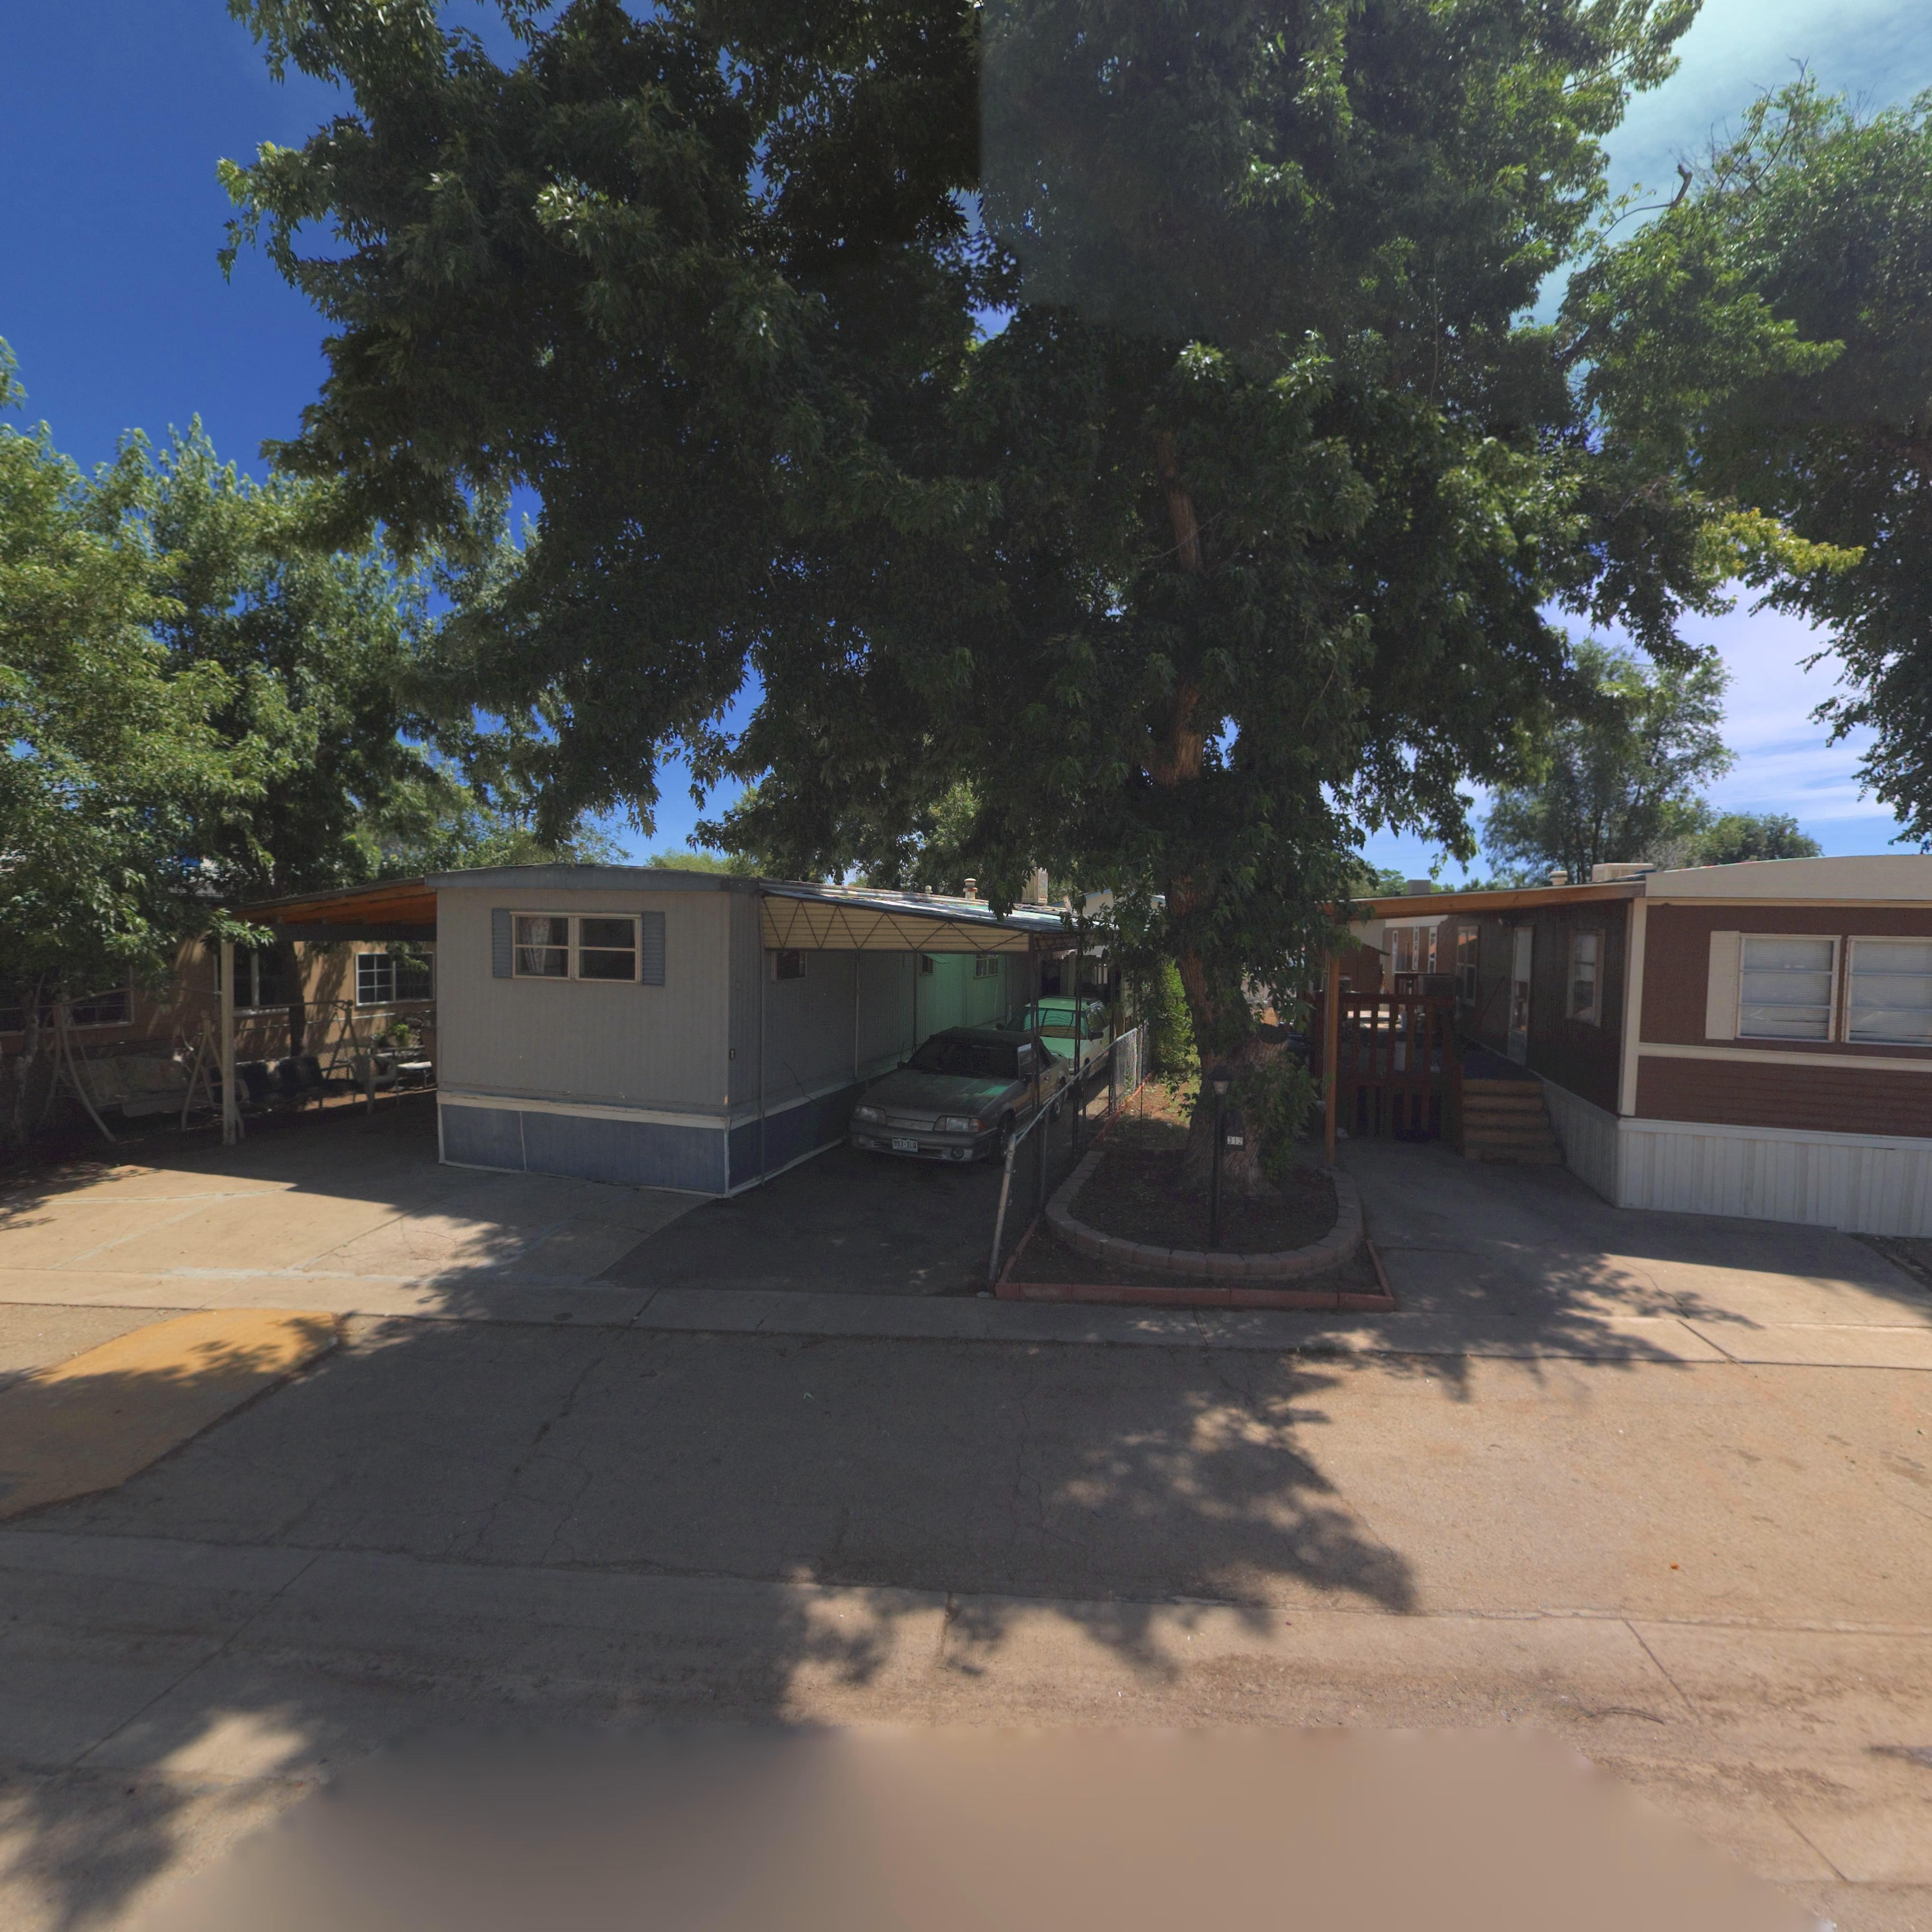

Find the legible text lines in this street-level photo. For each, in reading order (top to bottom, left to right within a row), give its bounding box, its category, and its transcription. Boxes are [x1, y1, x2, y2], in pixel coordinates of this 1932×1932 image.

[1227, 1136, 1242, 1144] StreetNumber: 312